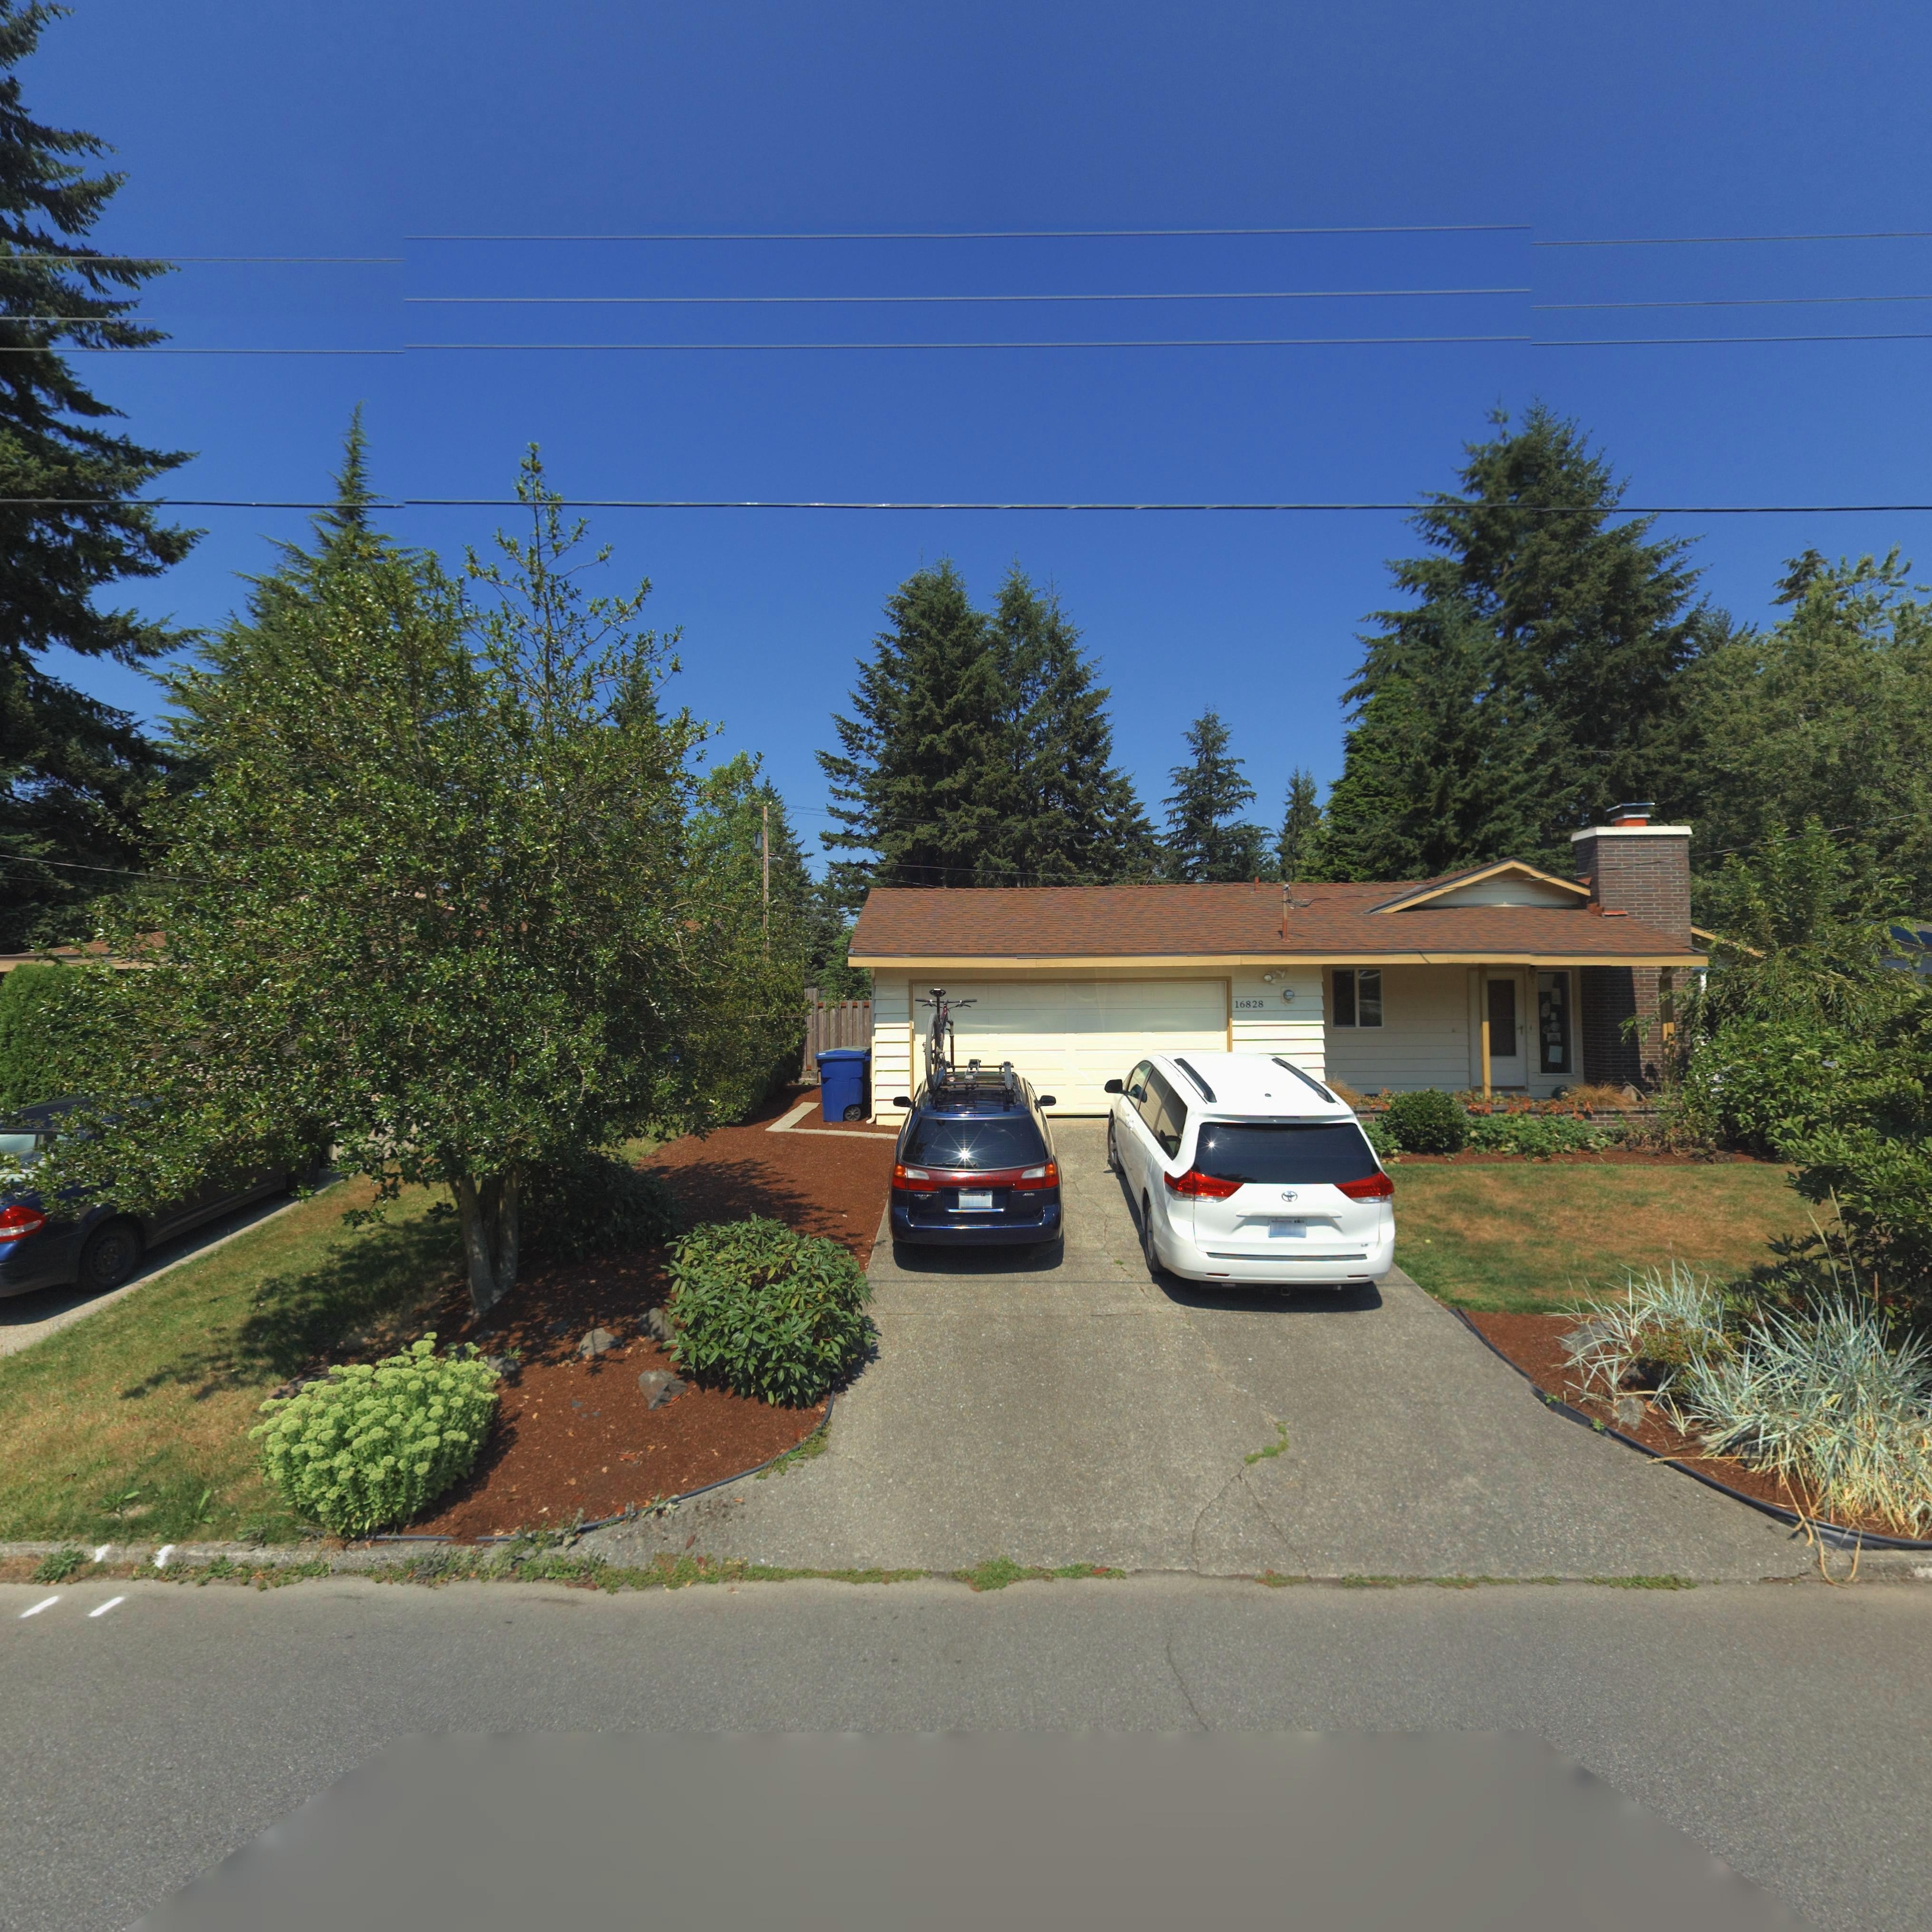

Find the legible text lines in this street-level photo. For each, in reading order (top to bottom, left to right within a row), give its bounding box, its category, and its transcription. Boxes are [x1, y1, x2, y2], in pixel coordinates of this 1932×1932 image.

[1235, 999, 1264, 1009] StreetNumber: 16828